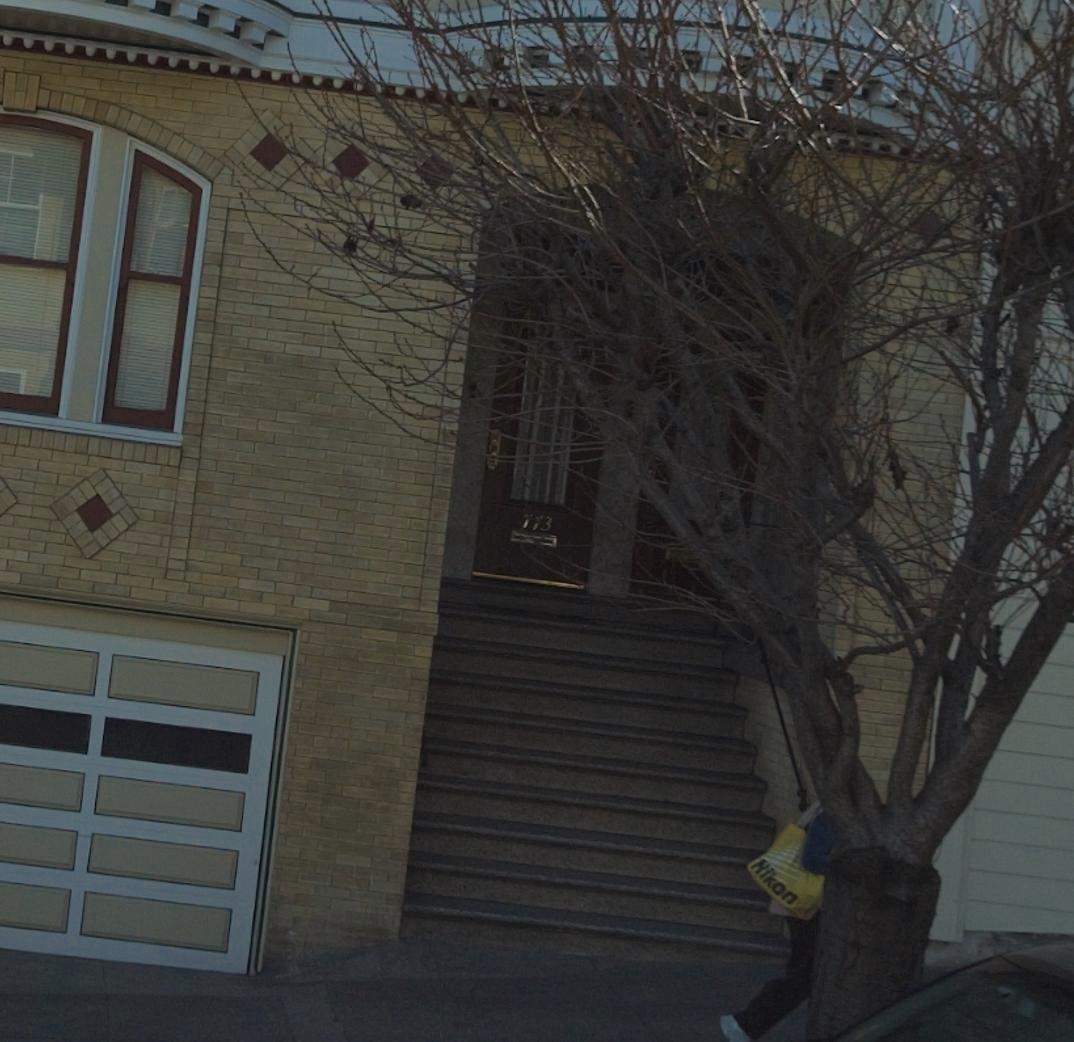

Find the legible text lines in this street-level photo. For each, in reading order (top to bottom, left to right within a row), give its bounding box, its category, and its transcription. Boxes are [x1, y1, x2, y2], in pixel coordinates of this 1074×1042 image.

[520, 512, 554, 533] StreetNumber: 773
[748, 857, 802, 909] None: Nikon